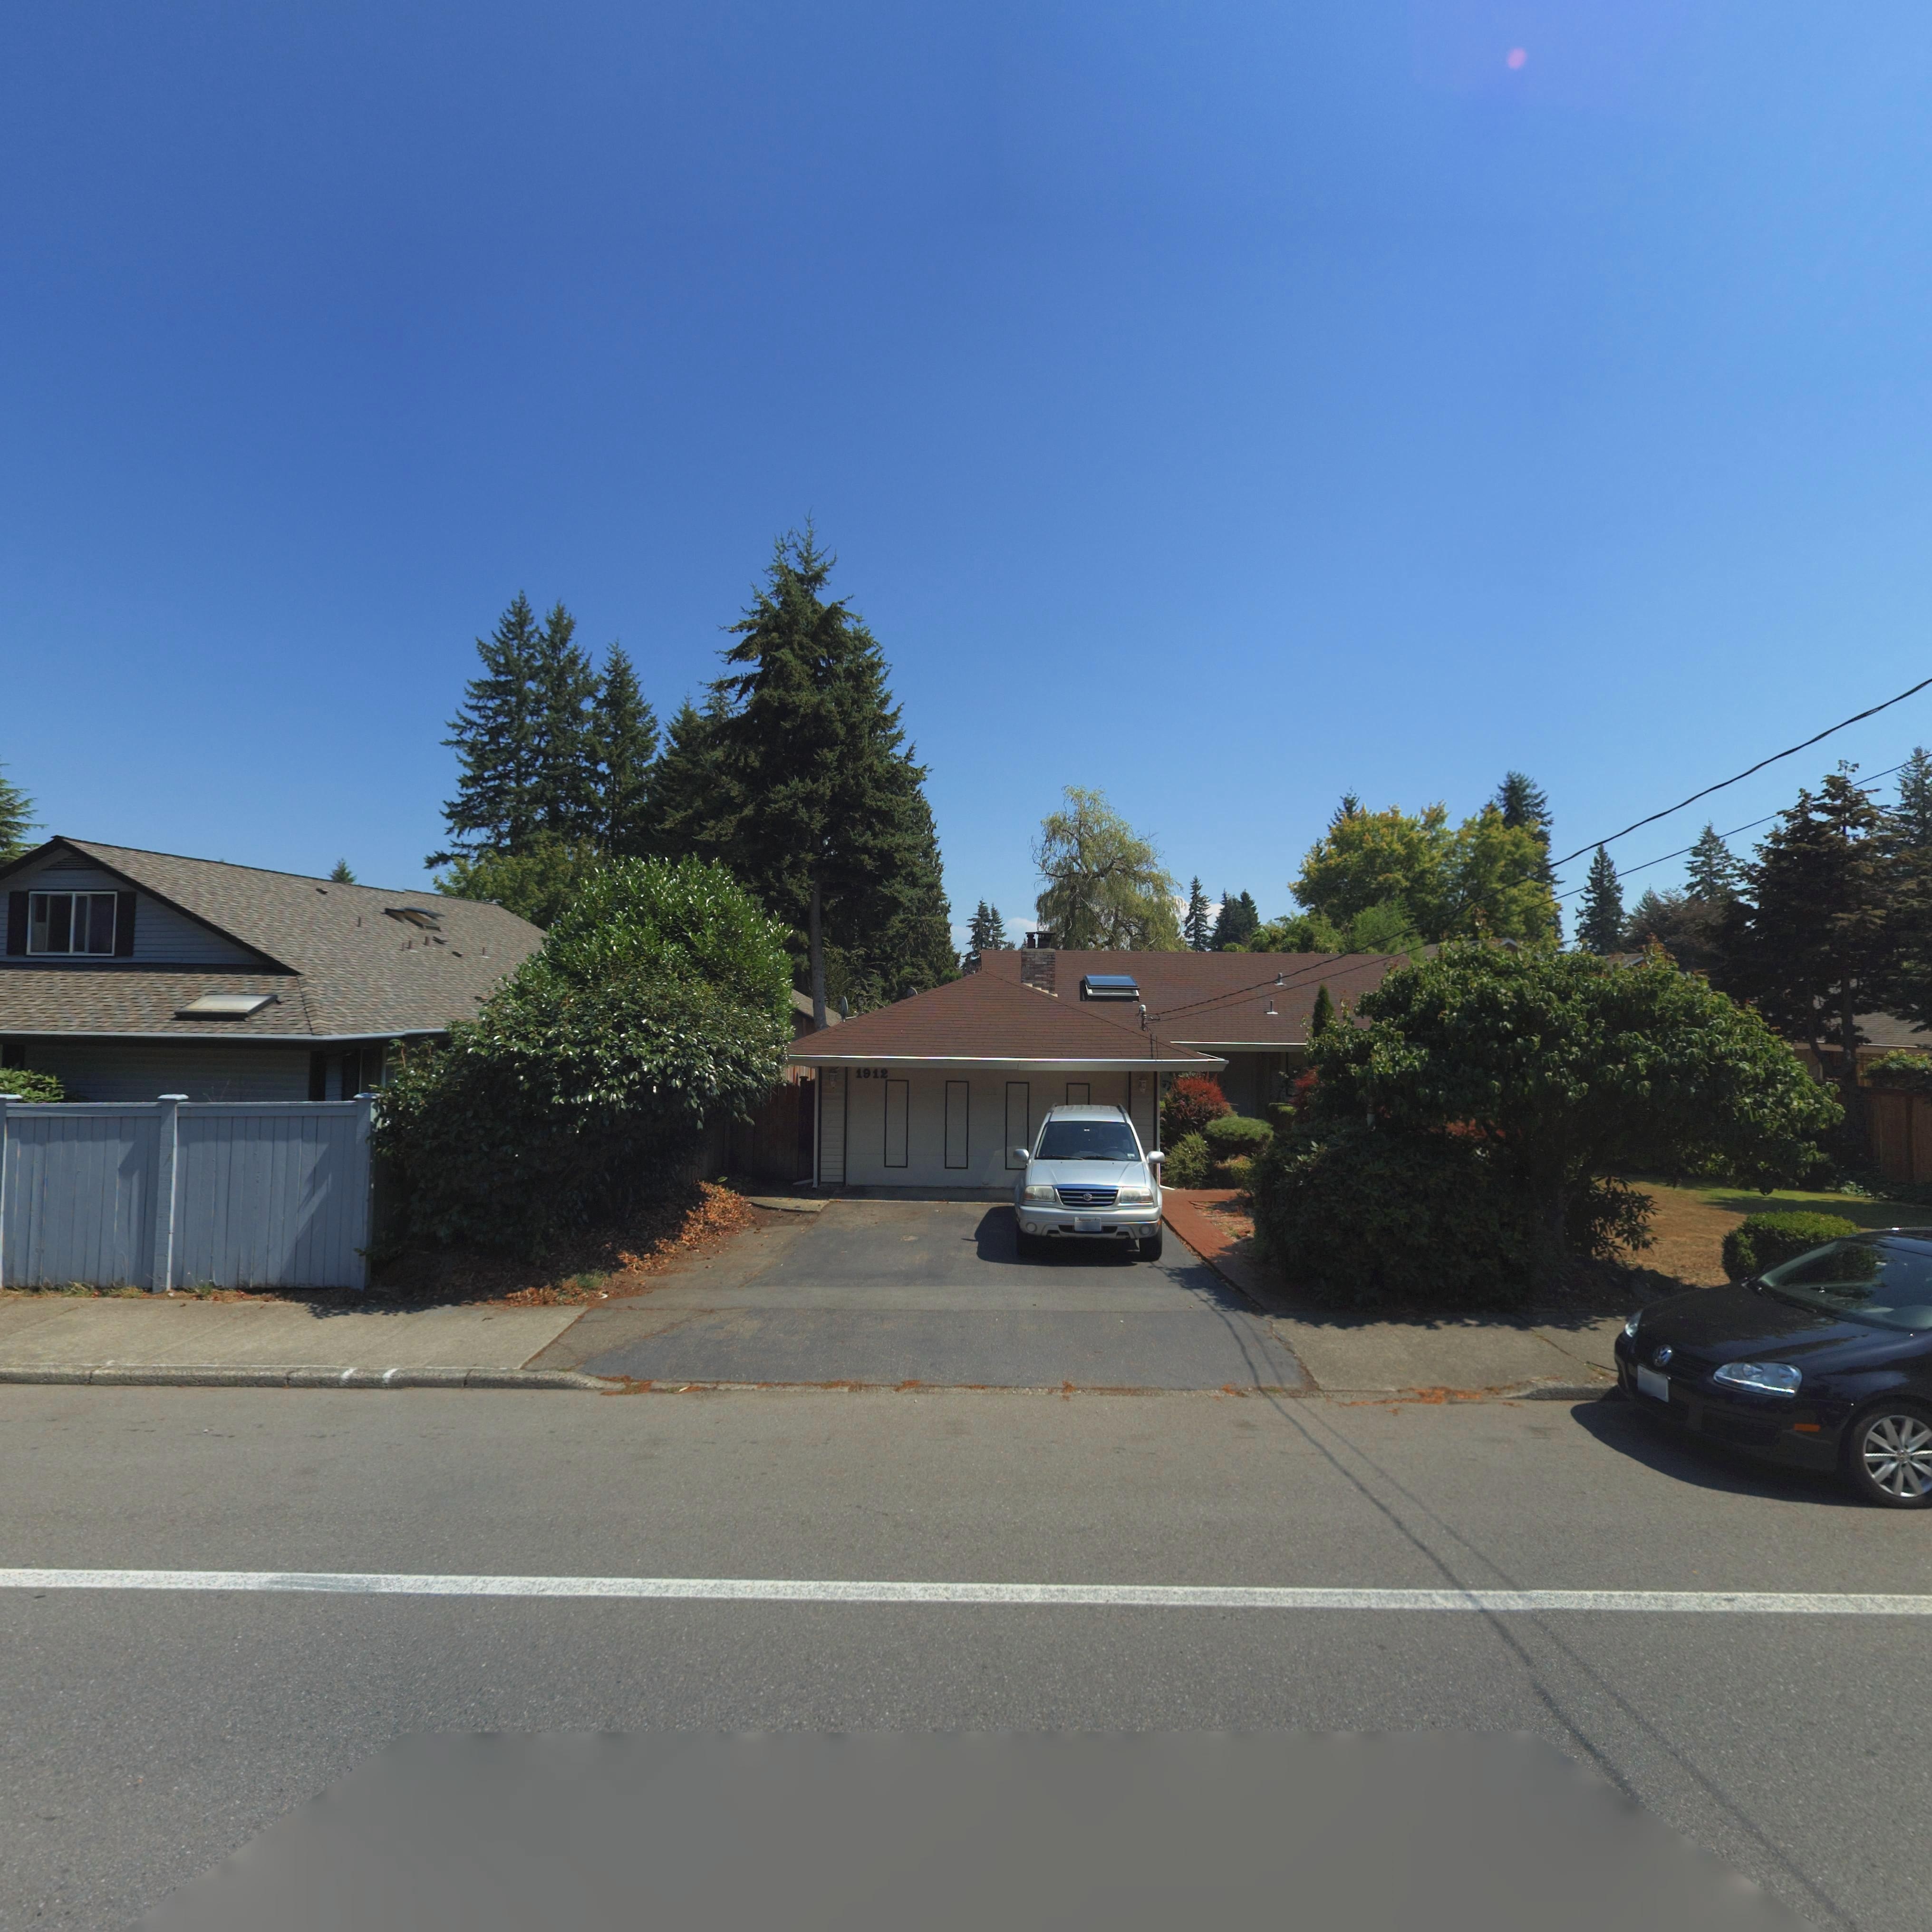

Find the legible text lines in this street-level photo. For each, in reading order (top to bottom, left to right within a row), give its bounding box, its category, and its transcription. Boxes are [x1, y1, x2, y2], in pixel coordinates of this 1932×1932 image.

[856, 1068, 888, 1078] StreetNumber: 1912